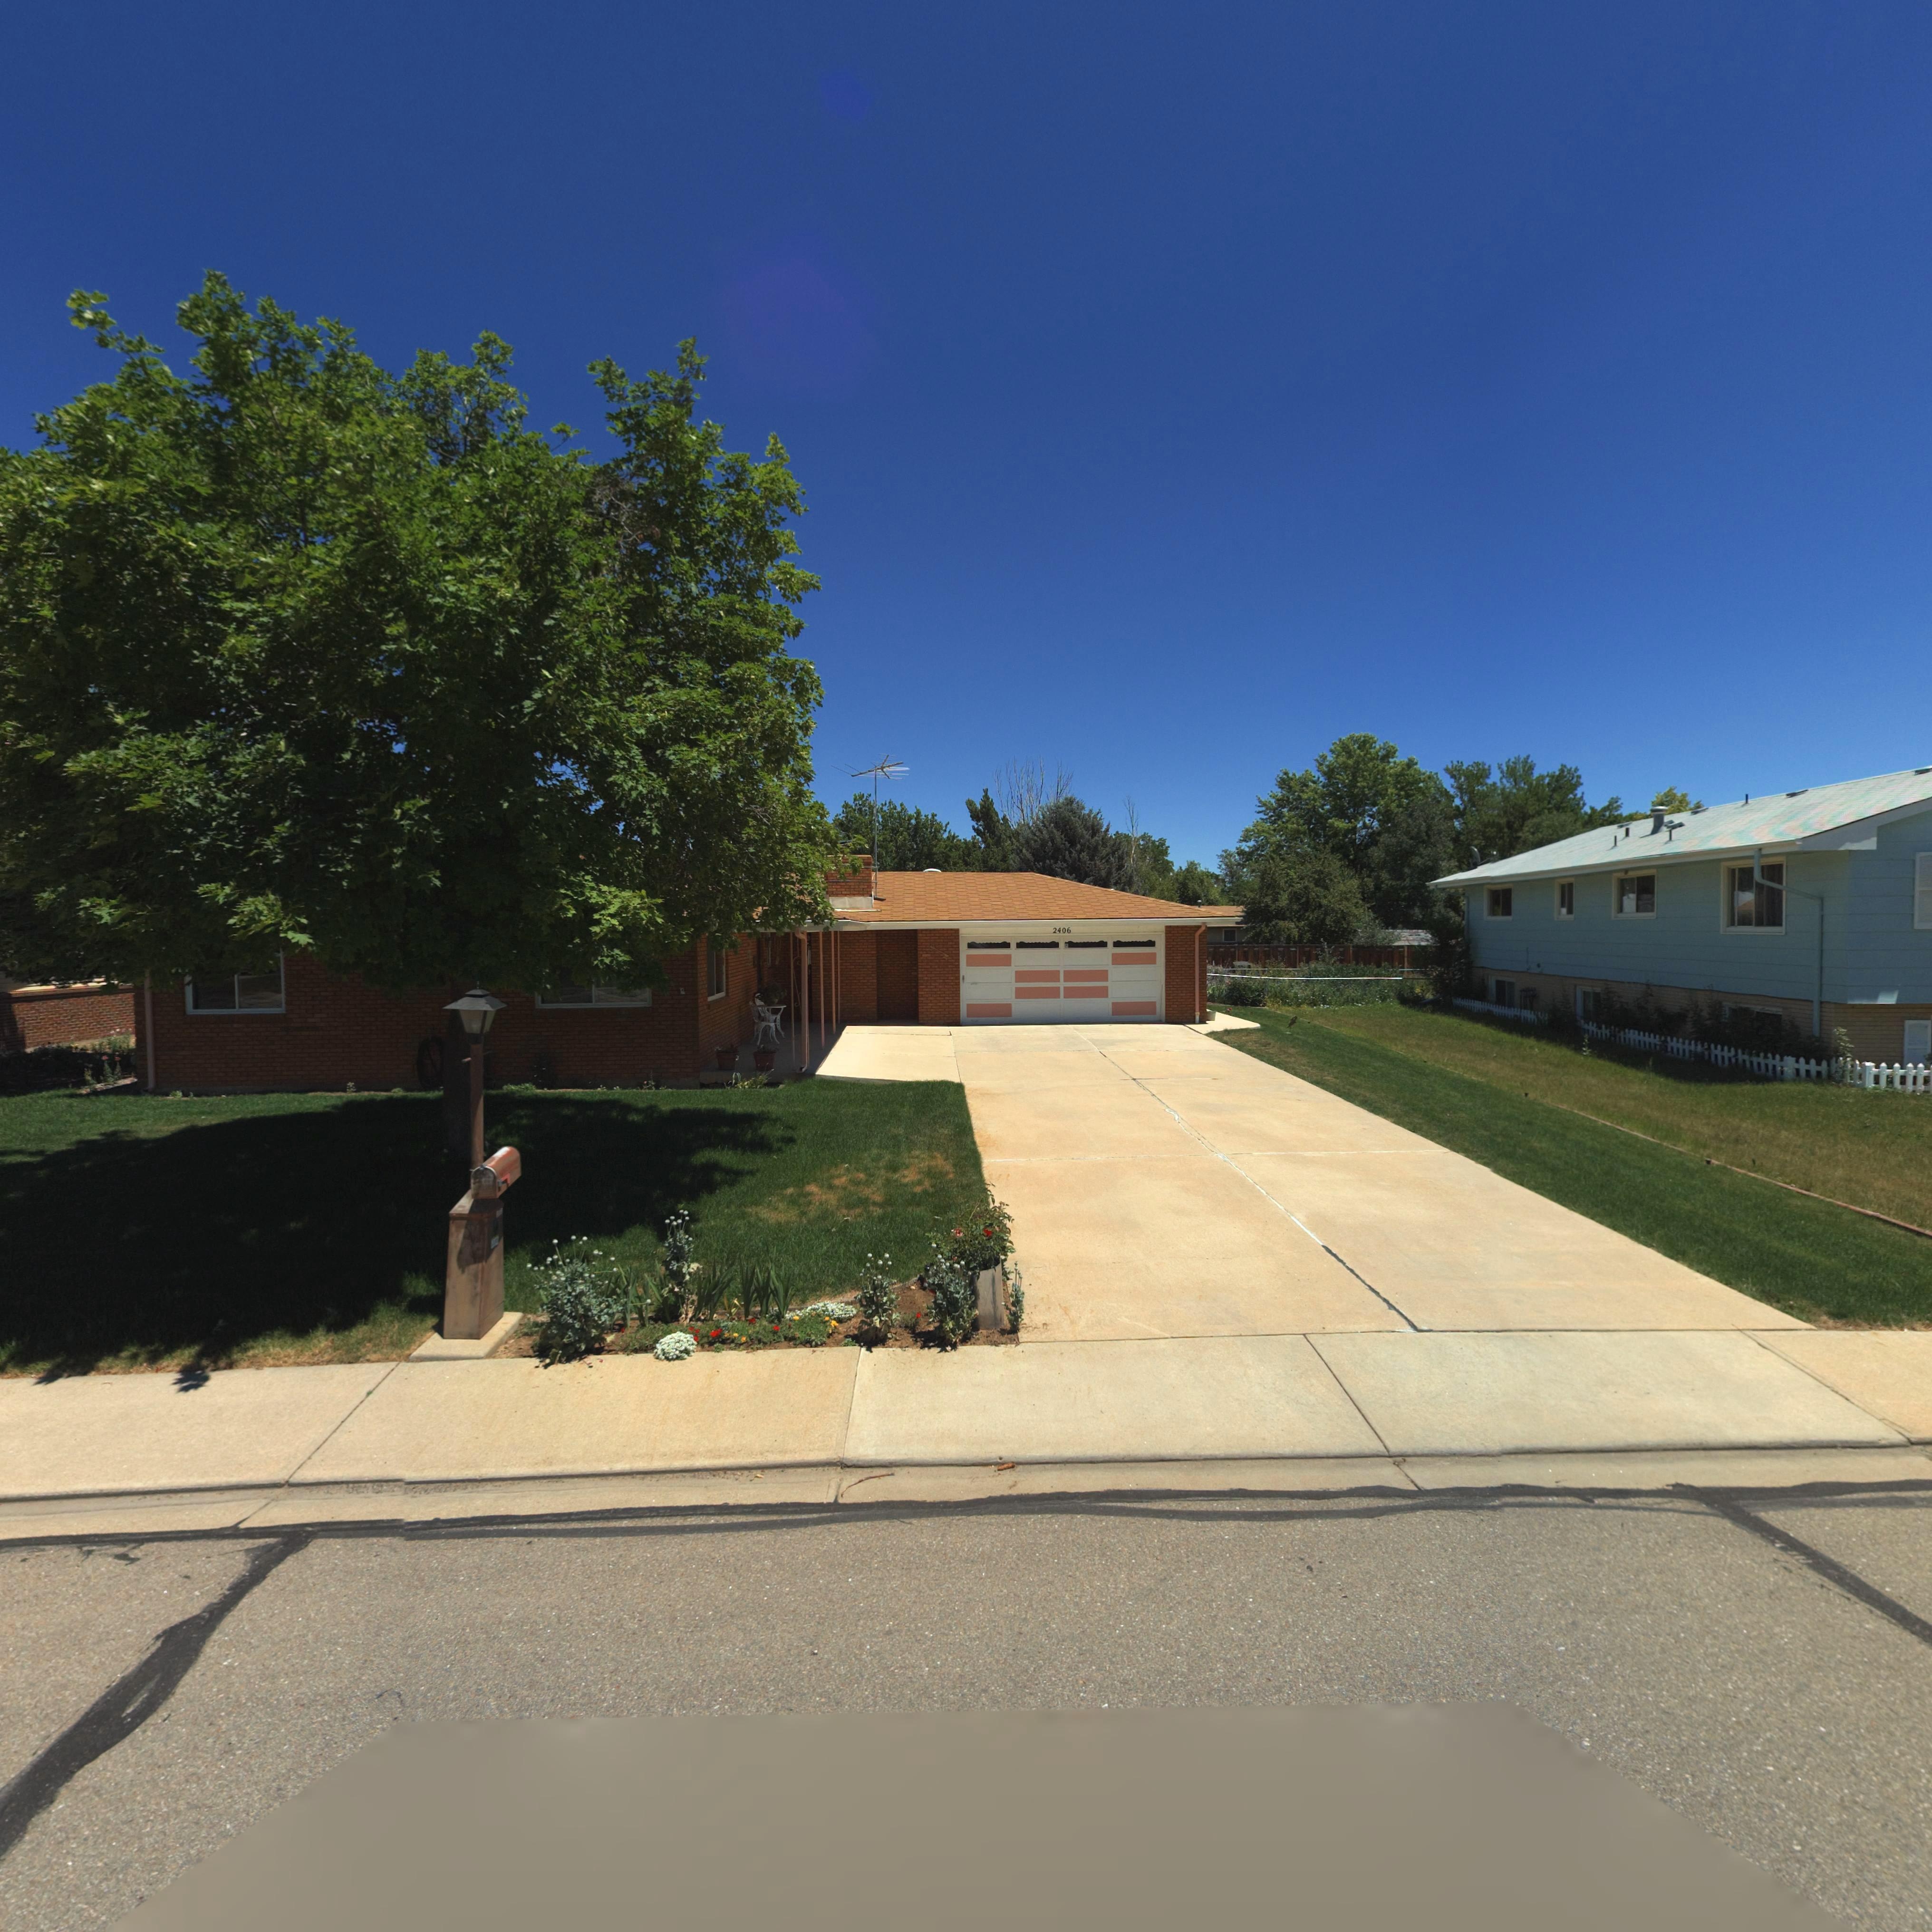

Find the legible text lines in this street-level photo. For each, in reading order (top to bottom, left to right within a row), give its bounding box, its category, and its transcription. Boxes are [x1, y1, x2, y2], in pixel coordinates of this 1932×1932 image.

[1052, 927, 1071, 934] StreetNumber: 2406